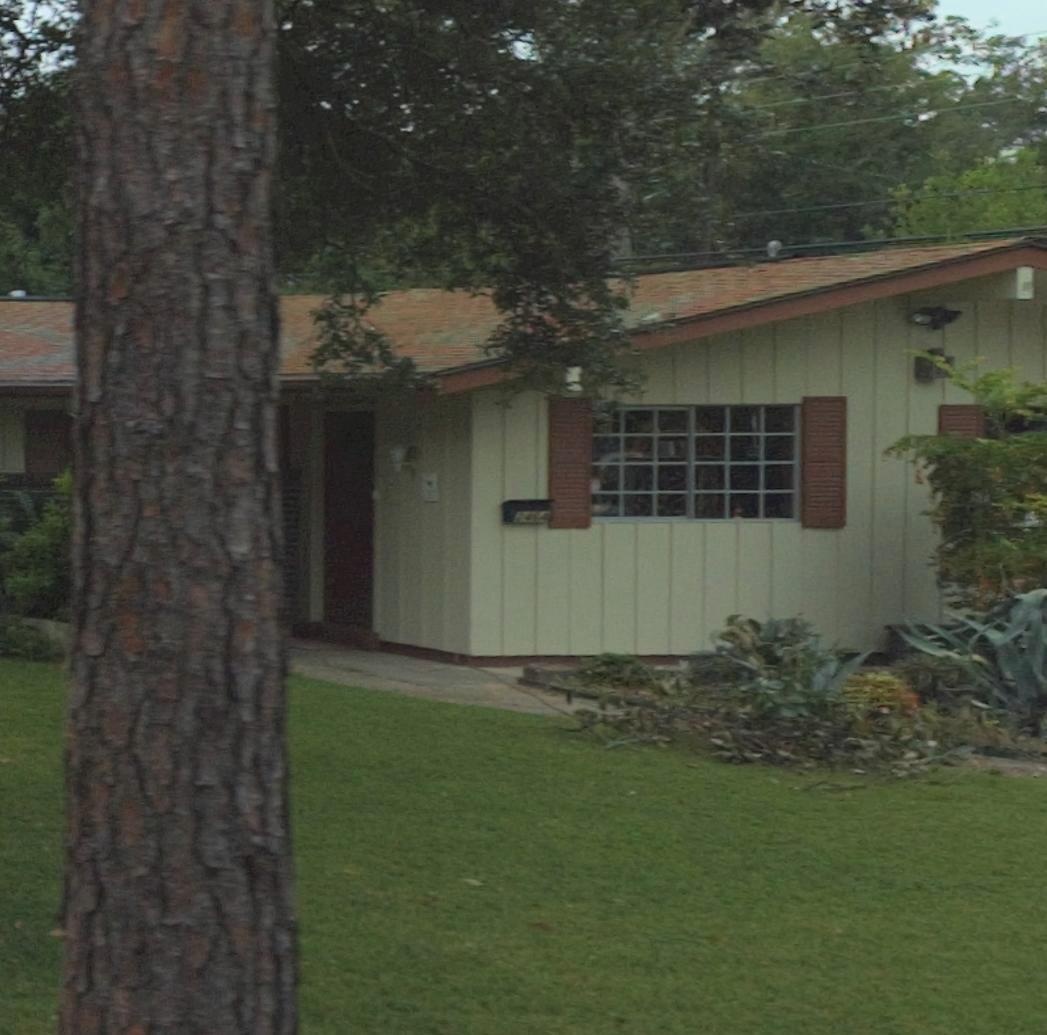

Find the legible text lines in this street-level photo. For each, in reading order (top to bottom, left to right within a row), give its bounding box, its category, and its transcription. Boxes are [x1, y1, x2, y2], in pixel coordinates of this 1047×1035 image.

[511, 510, 549, 522] StreetNumber: 2464